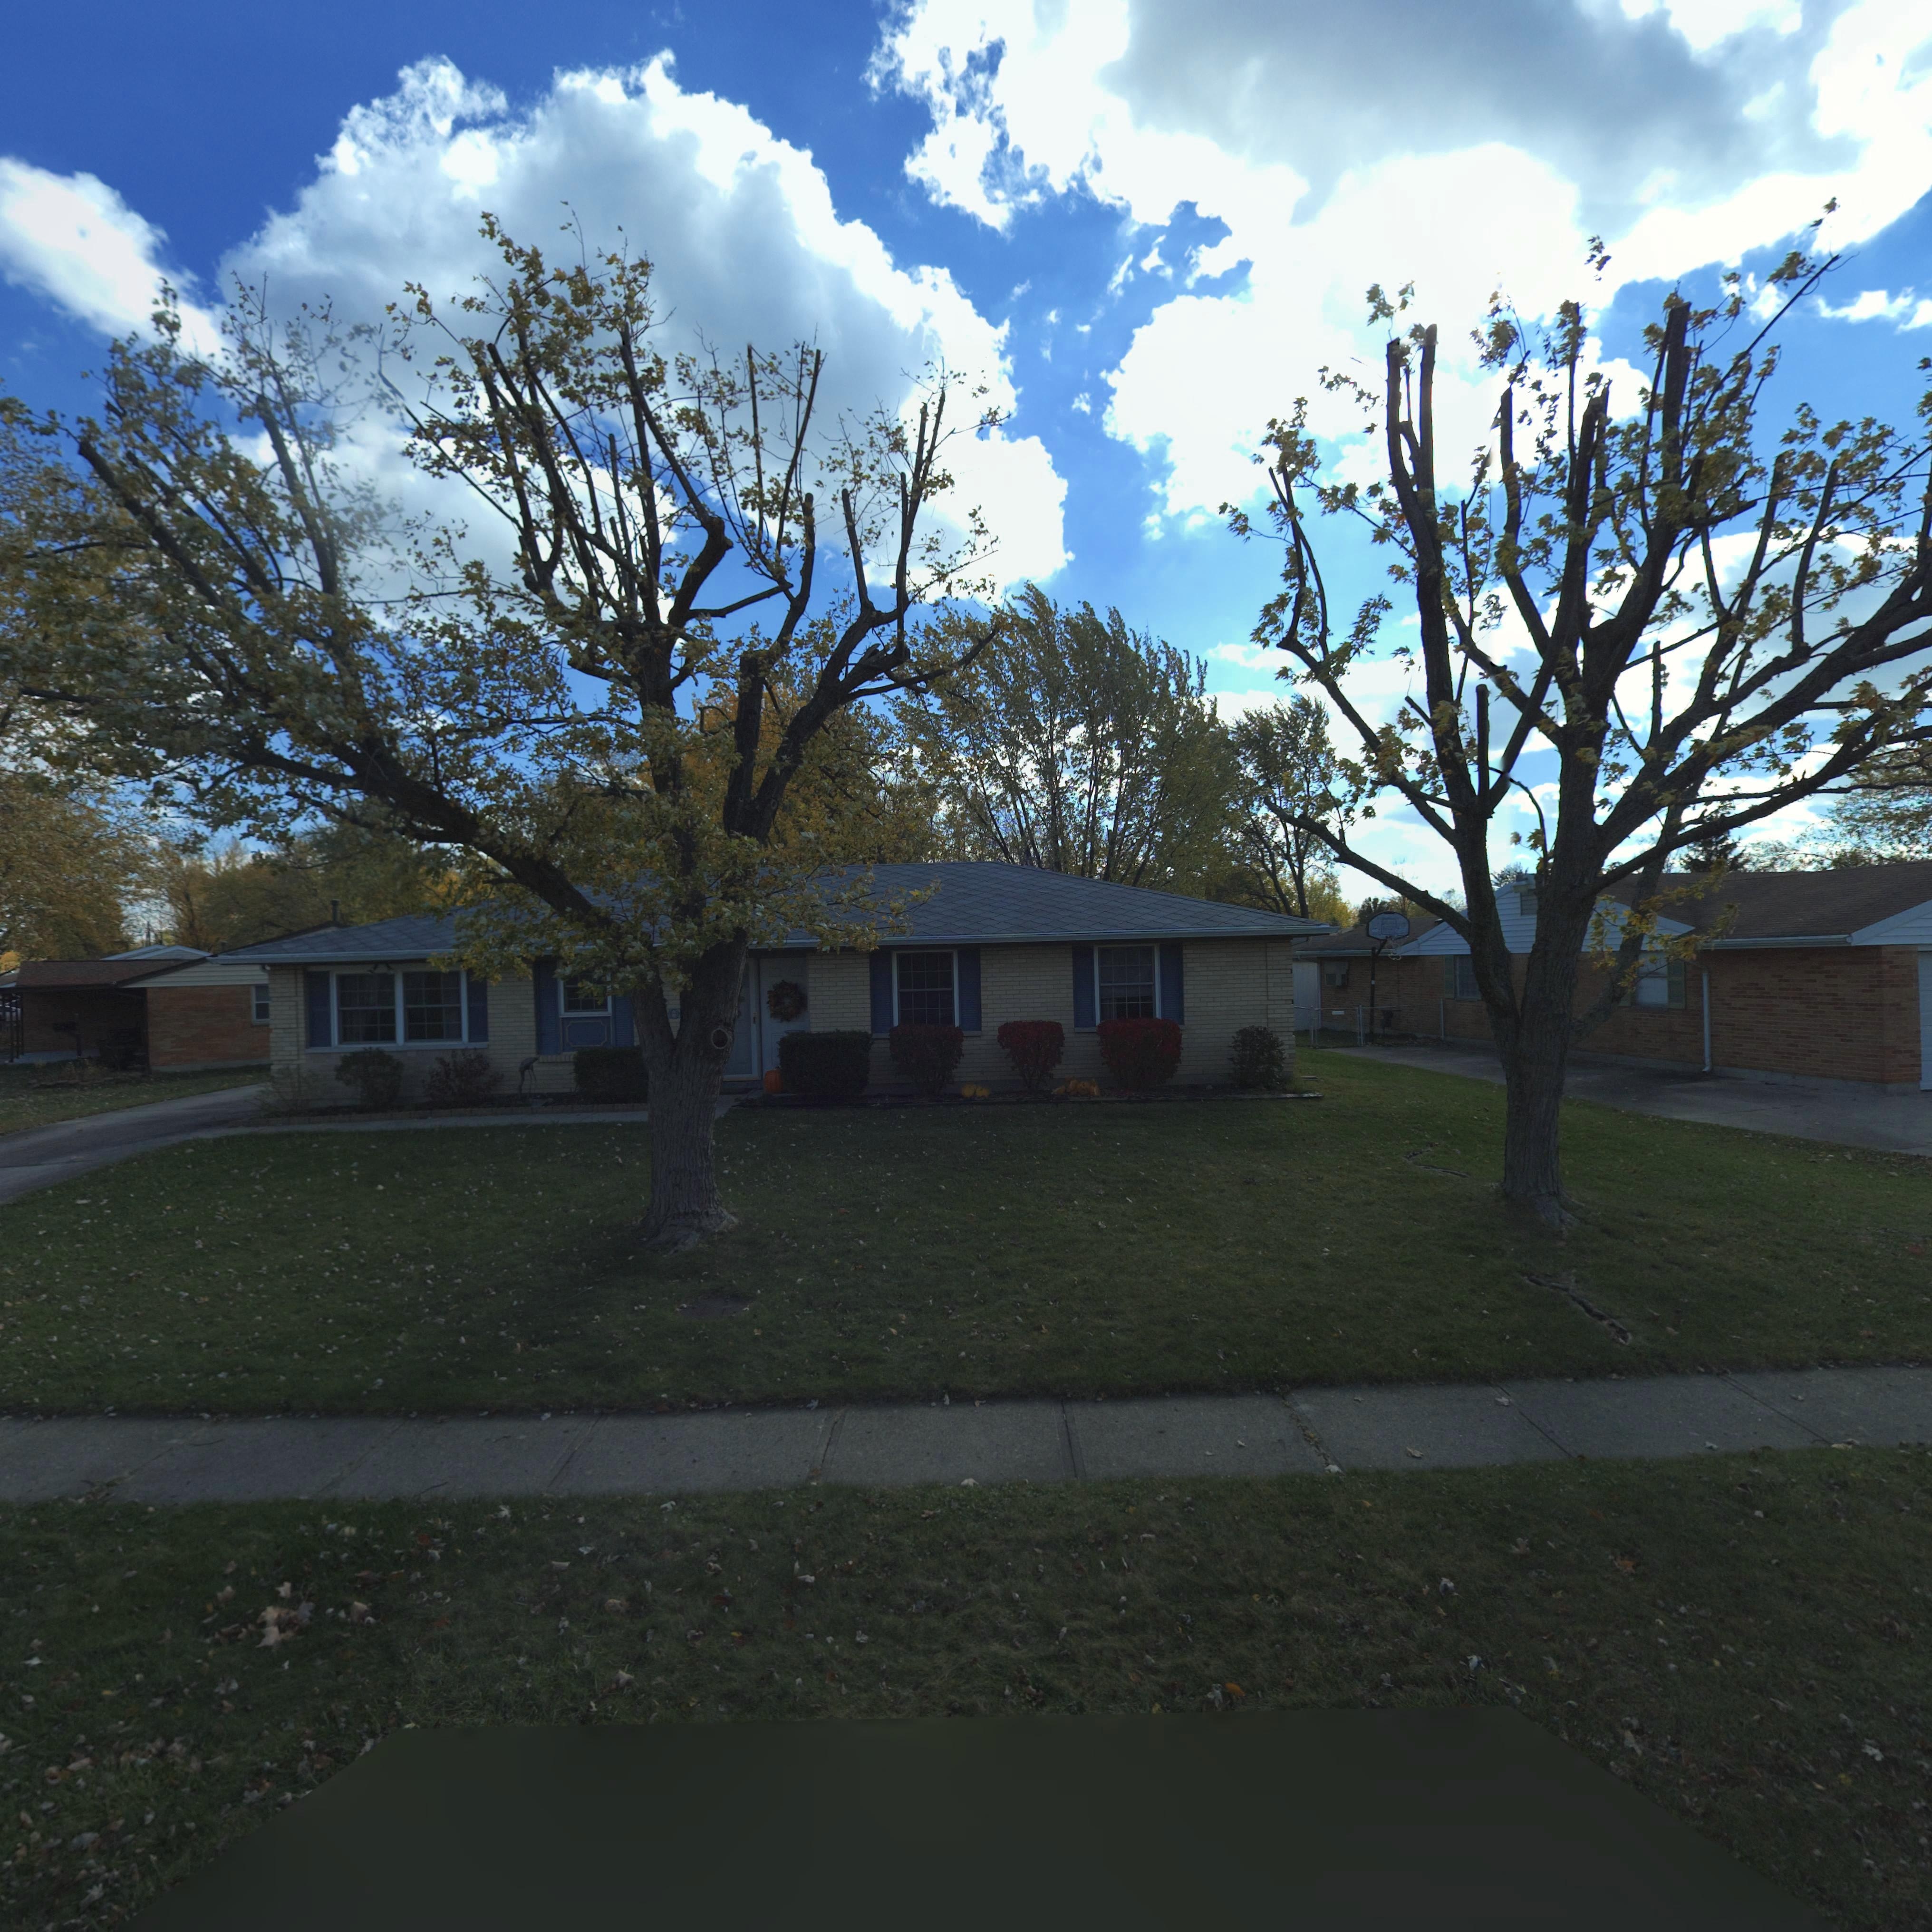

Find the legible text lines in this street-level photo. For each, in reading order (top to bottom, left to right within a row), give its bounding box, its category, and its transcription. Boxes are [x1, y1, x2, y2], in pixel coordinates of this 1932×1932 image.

[667, 1007, 680, 1019] StreetNumber: 0